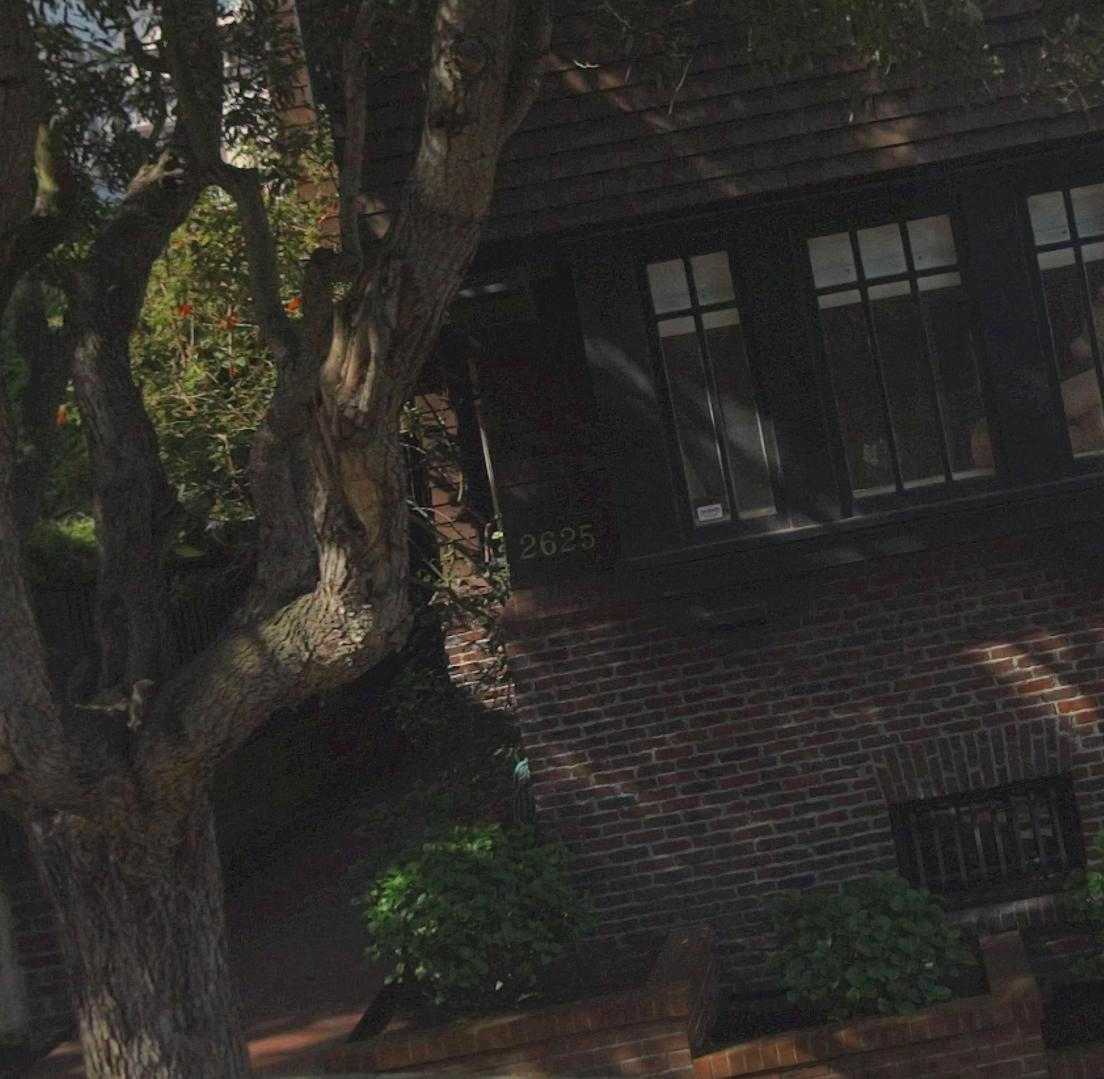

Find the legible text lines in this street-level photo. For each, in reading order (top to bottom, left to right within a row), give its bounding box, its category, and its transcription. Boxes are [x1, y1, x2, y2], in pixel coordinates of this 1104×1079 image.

[518, 521, 598, 563] StreetNumber: 2625